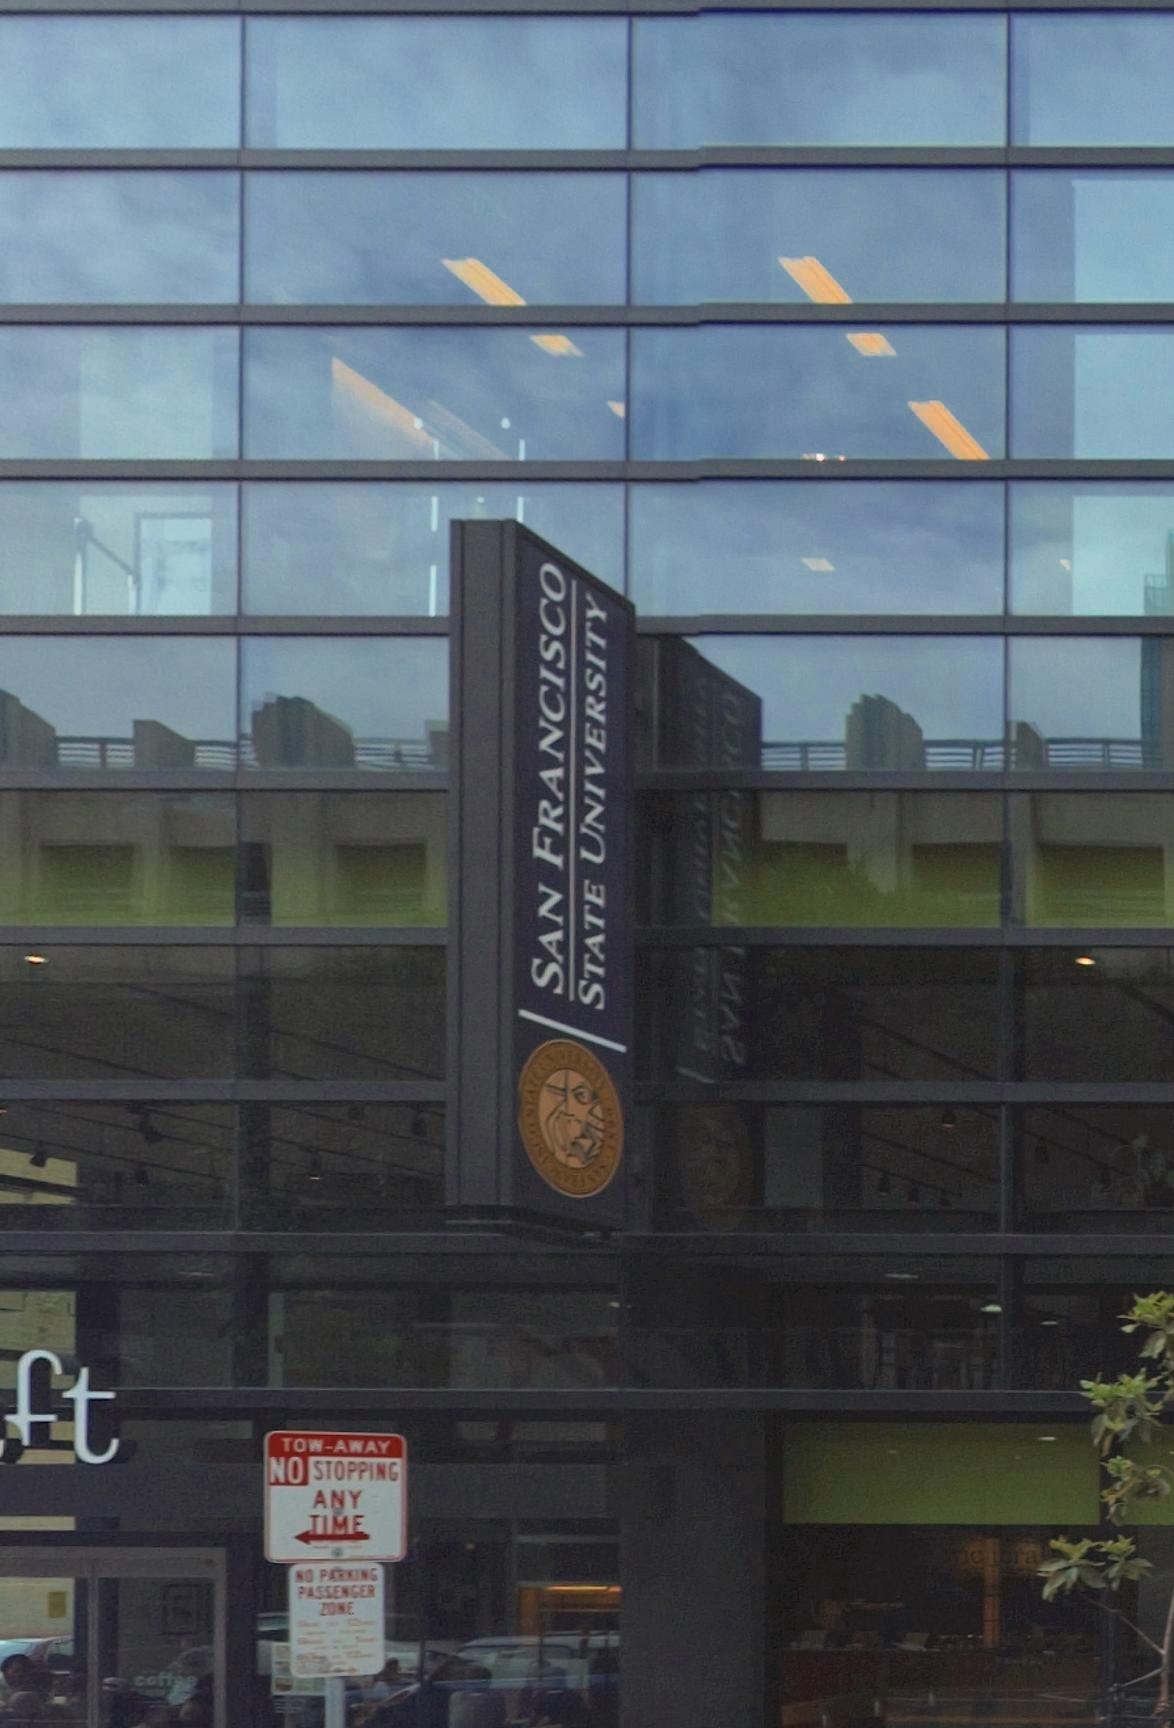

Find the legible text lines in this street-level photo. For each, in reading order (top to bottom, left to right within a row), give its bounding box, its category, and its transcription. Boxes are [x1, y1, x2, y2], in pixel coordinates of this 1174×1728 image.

[527, 559, 571, 1001] BusinessName: SAN FRANCISCO
[575, 583, 612, 1014] BusinessName: STATE UNIVERSITY
[0, 1343, 129, 1470] BusinessName: ft
[277, 1435, 395, 1457] None: TOW-AWAY
[266, 1454, 402, 1486] None: NO STOPPING
[308, 1486, 366, 1513] None: ANY
[304, 1511, 368, 1537] None: TIME
[292, 1564, 381, 1586] None: NO PARKING
[295, 1581, 379, 1602] None: PASSENGER
[317, 1599, 358, 1619] None: ZONE
[130, 1669, 179, 1689] None: coff